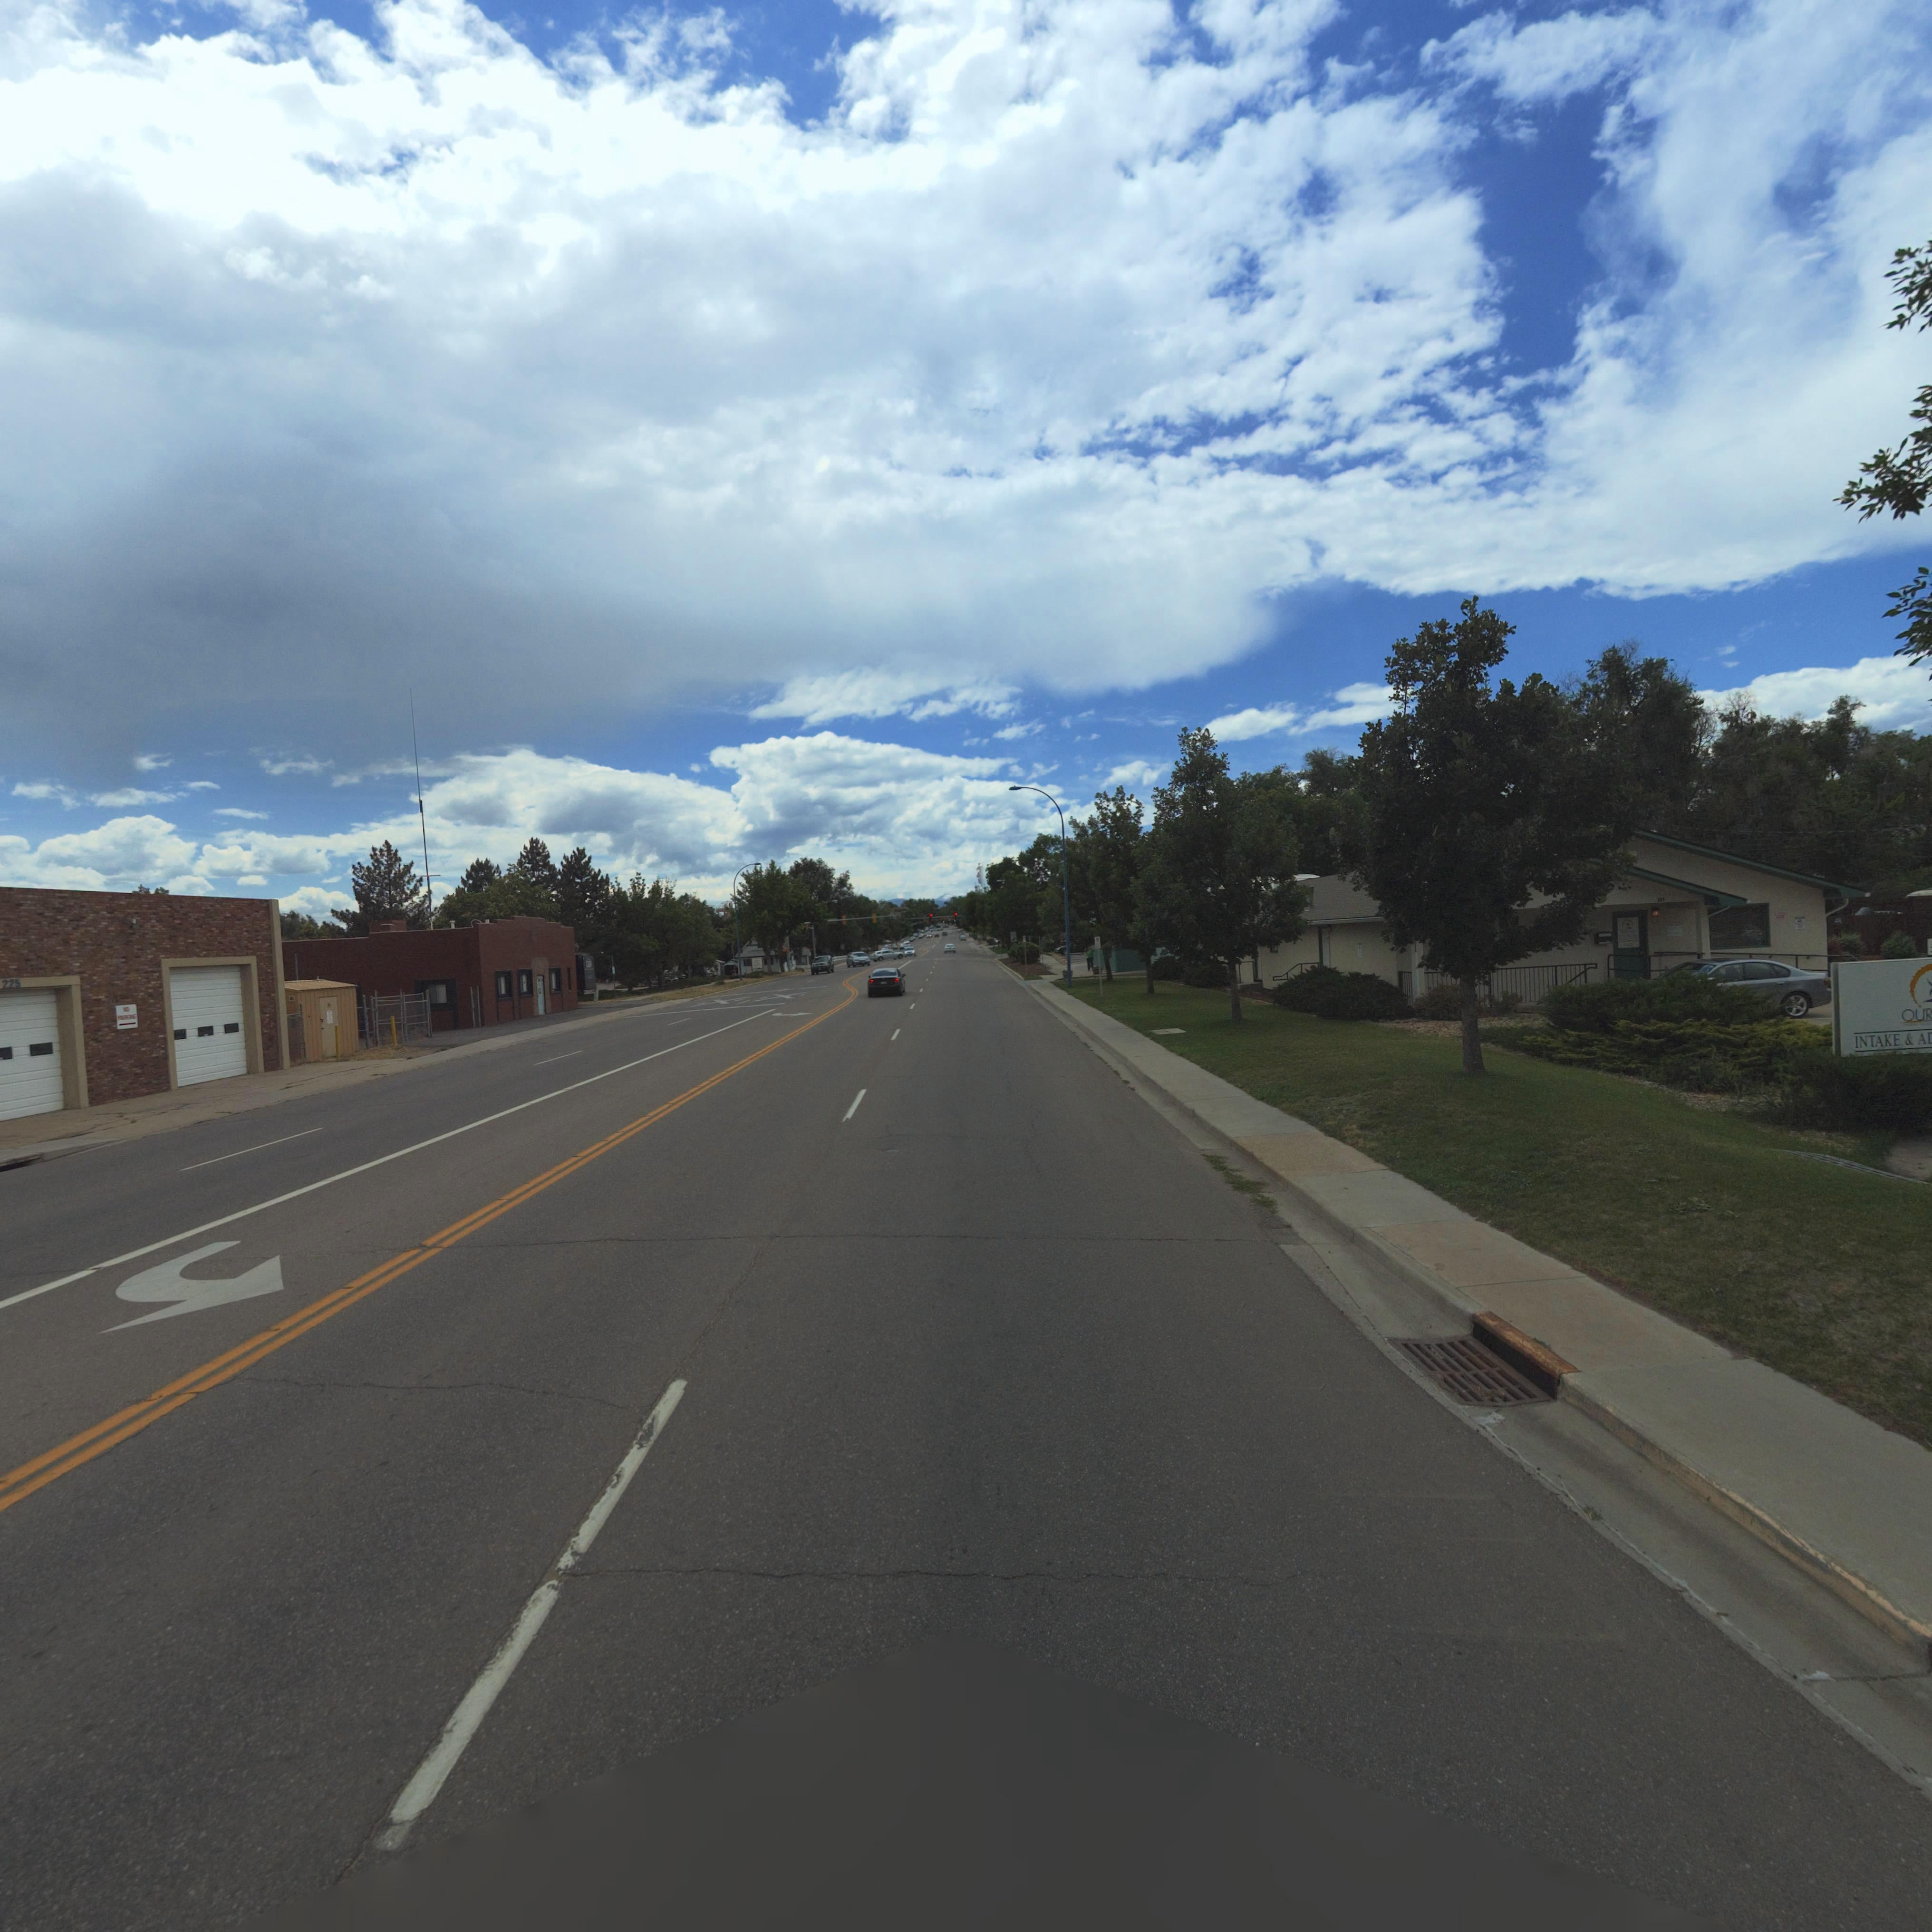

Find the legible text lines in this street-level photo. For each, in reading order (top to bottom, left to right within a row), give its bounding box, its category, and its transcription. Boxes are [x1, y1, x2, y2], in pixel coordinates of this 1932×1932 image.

[1, 978, 21, 988] StreetNumber: 225
[1900, 1007, 1925, 1022] BusinessName: OU